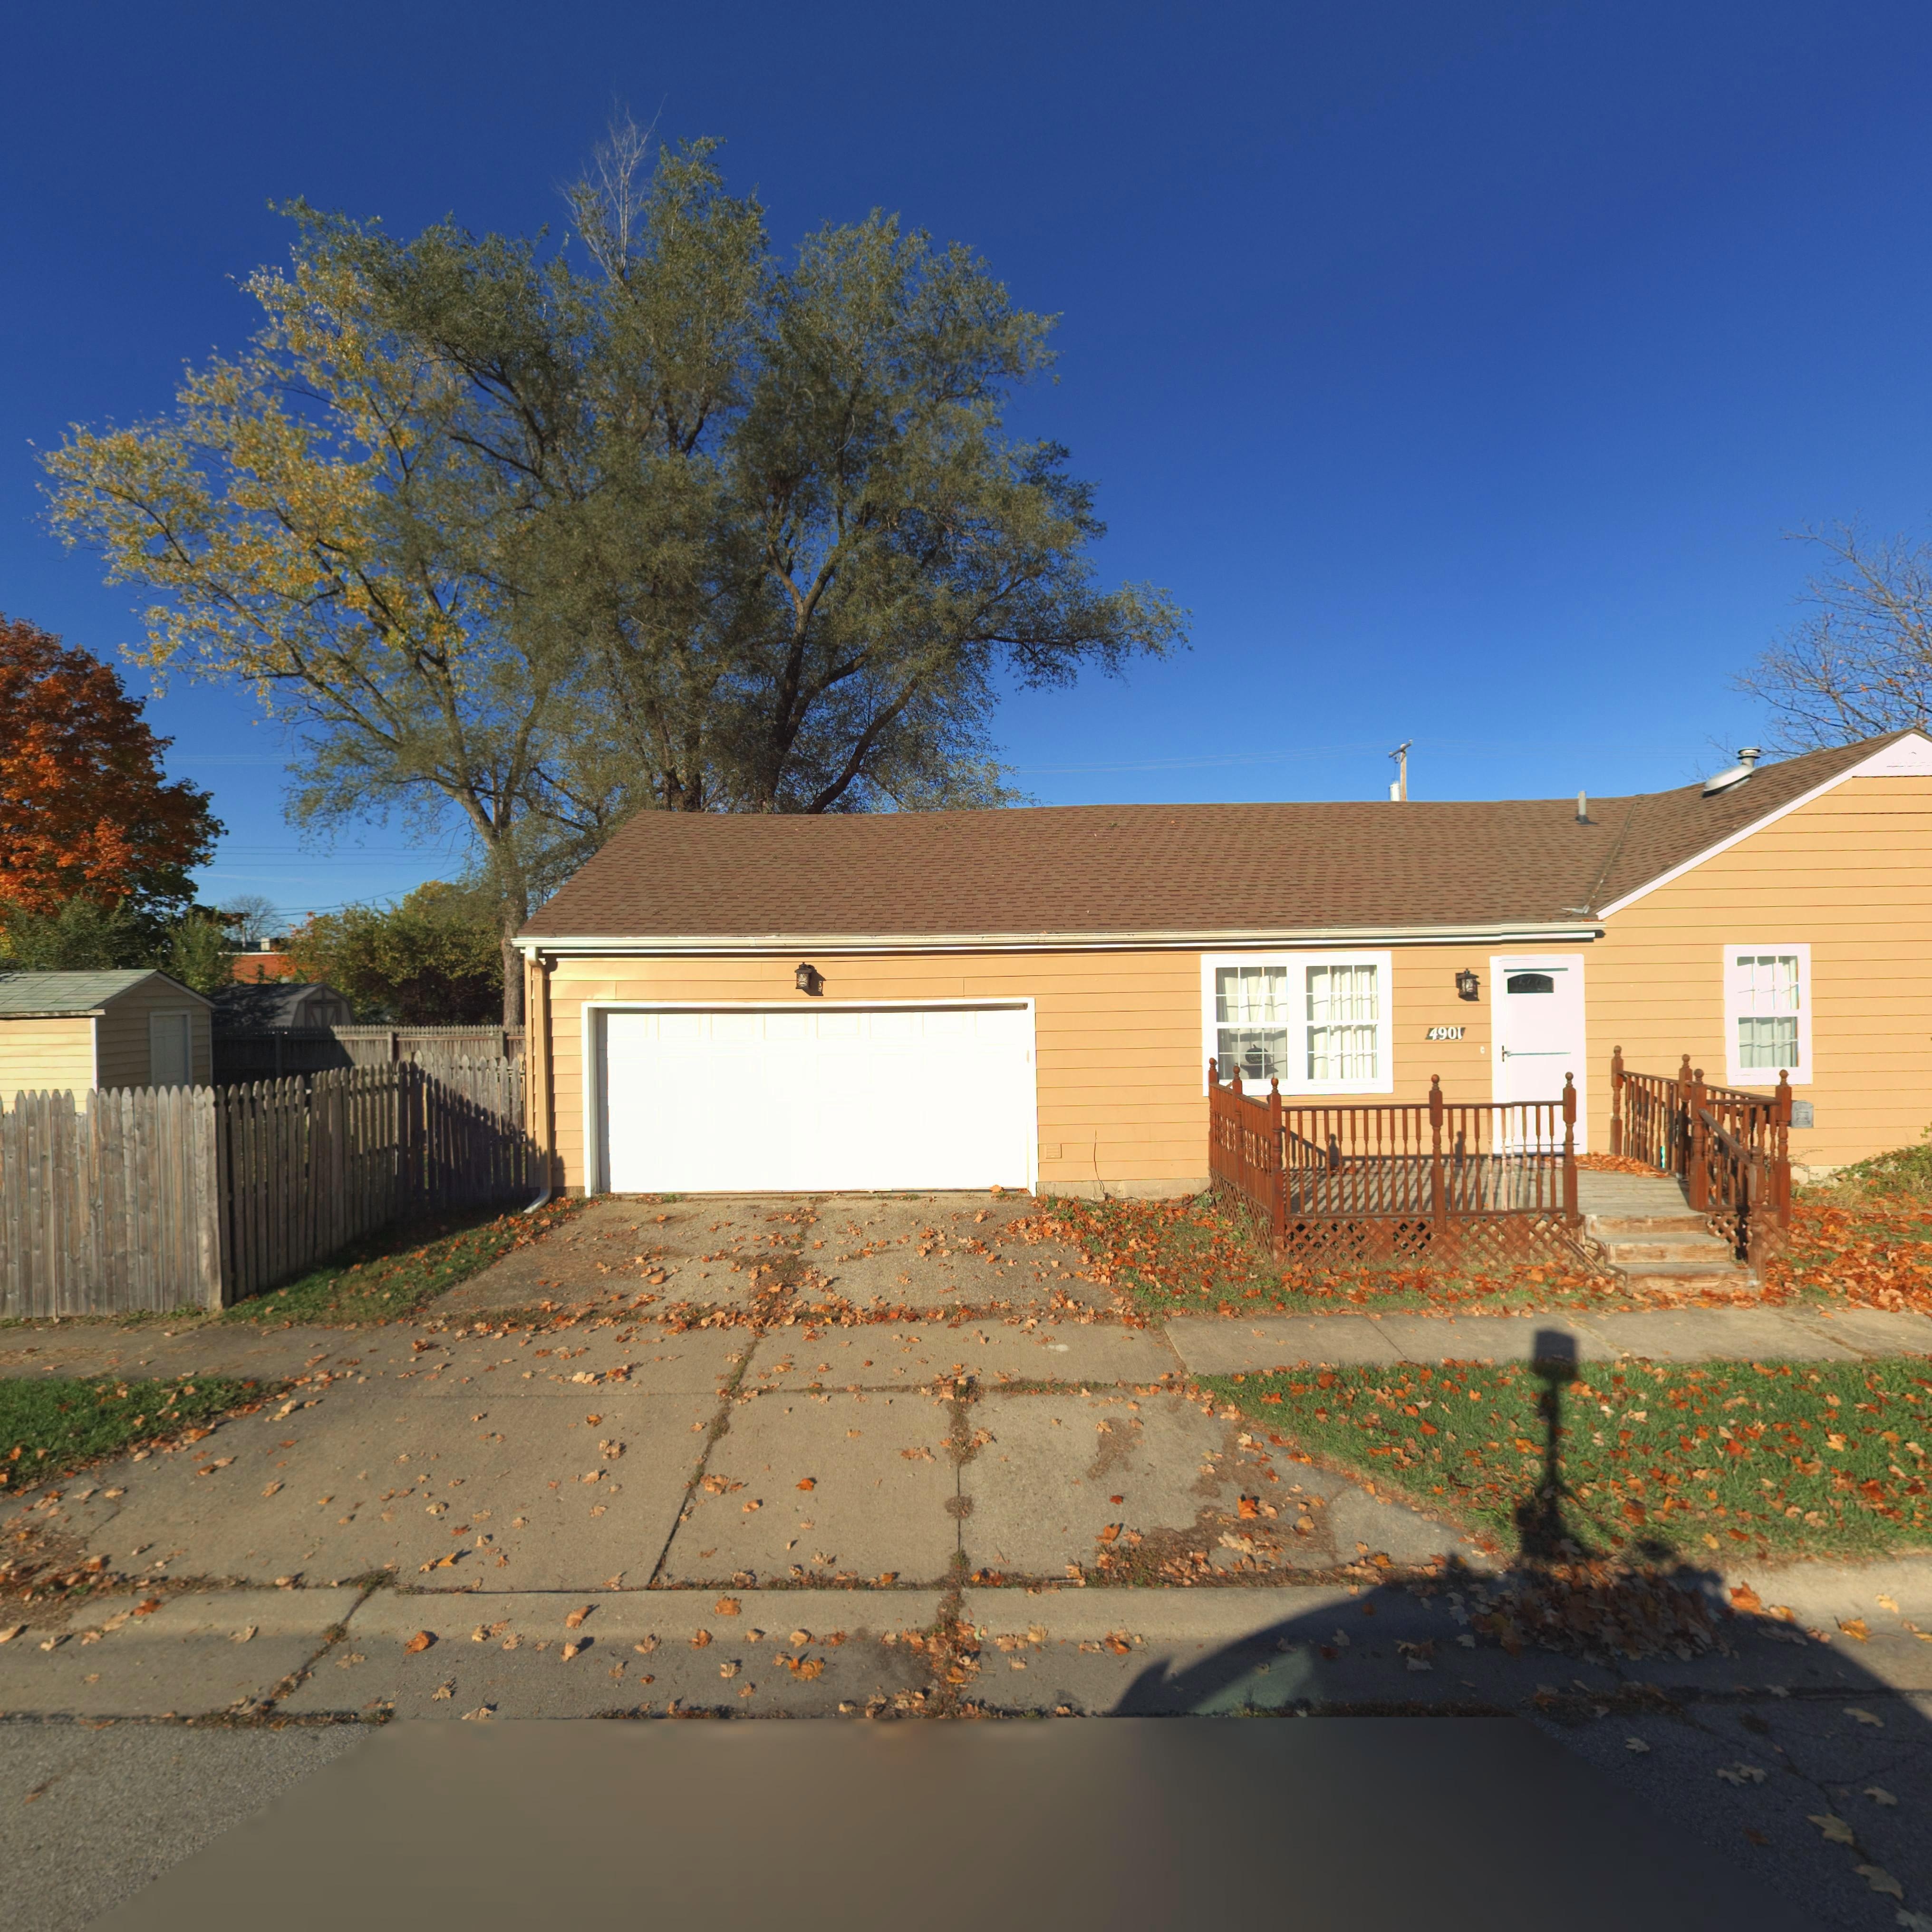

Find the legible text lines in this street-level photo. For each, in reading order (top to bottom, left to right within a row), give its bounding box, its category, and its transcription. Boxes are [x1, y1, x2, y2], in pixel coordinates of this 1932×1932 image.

[1428, 1026, 1463, 1041] StreetNumber: 4901